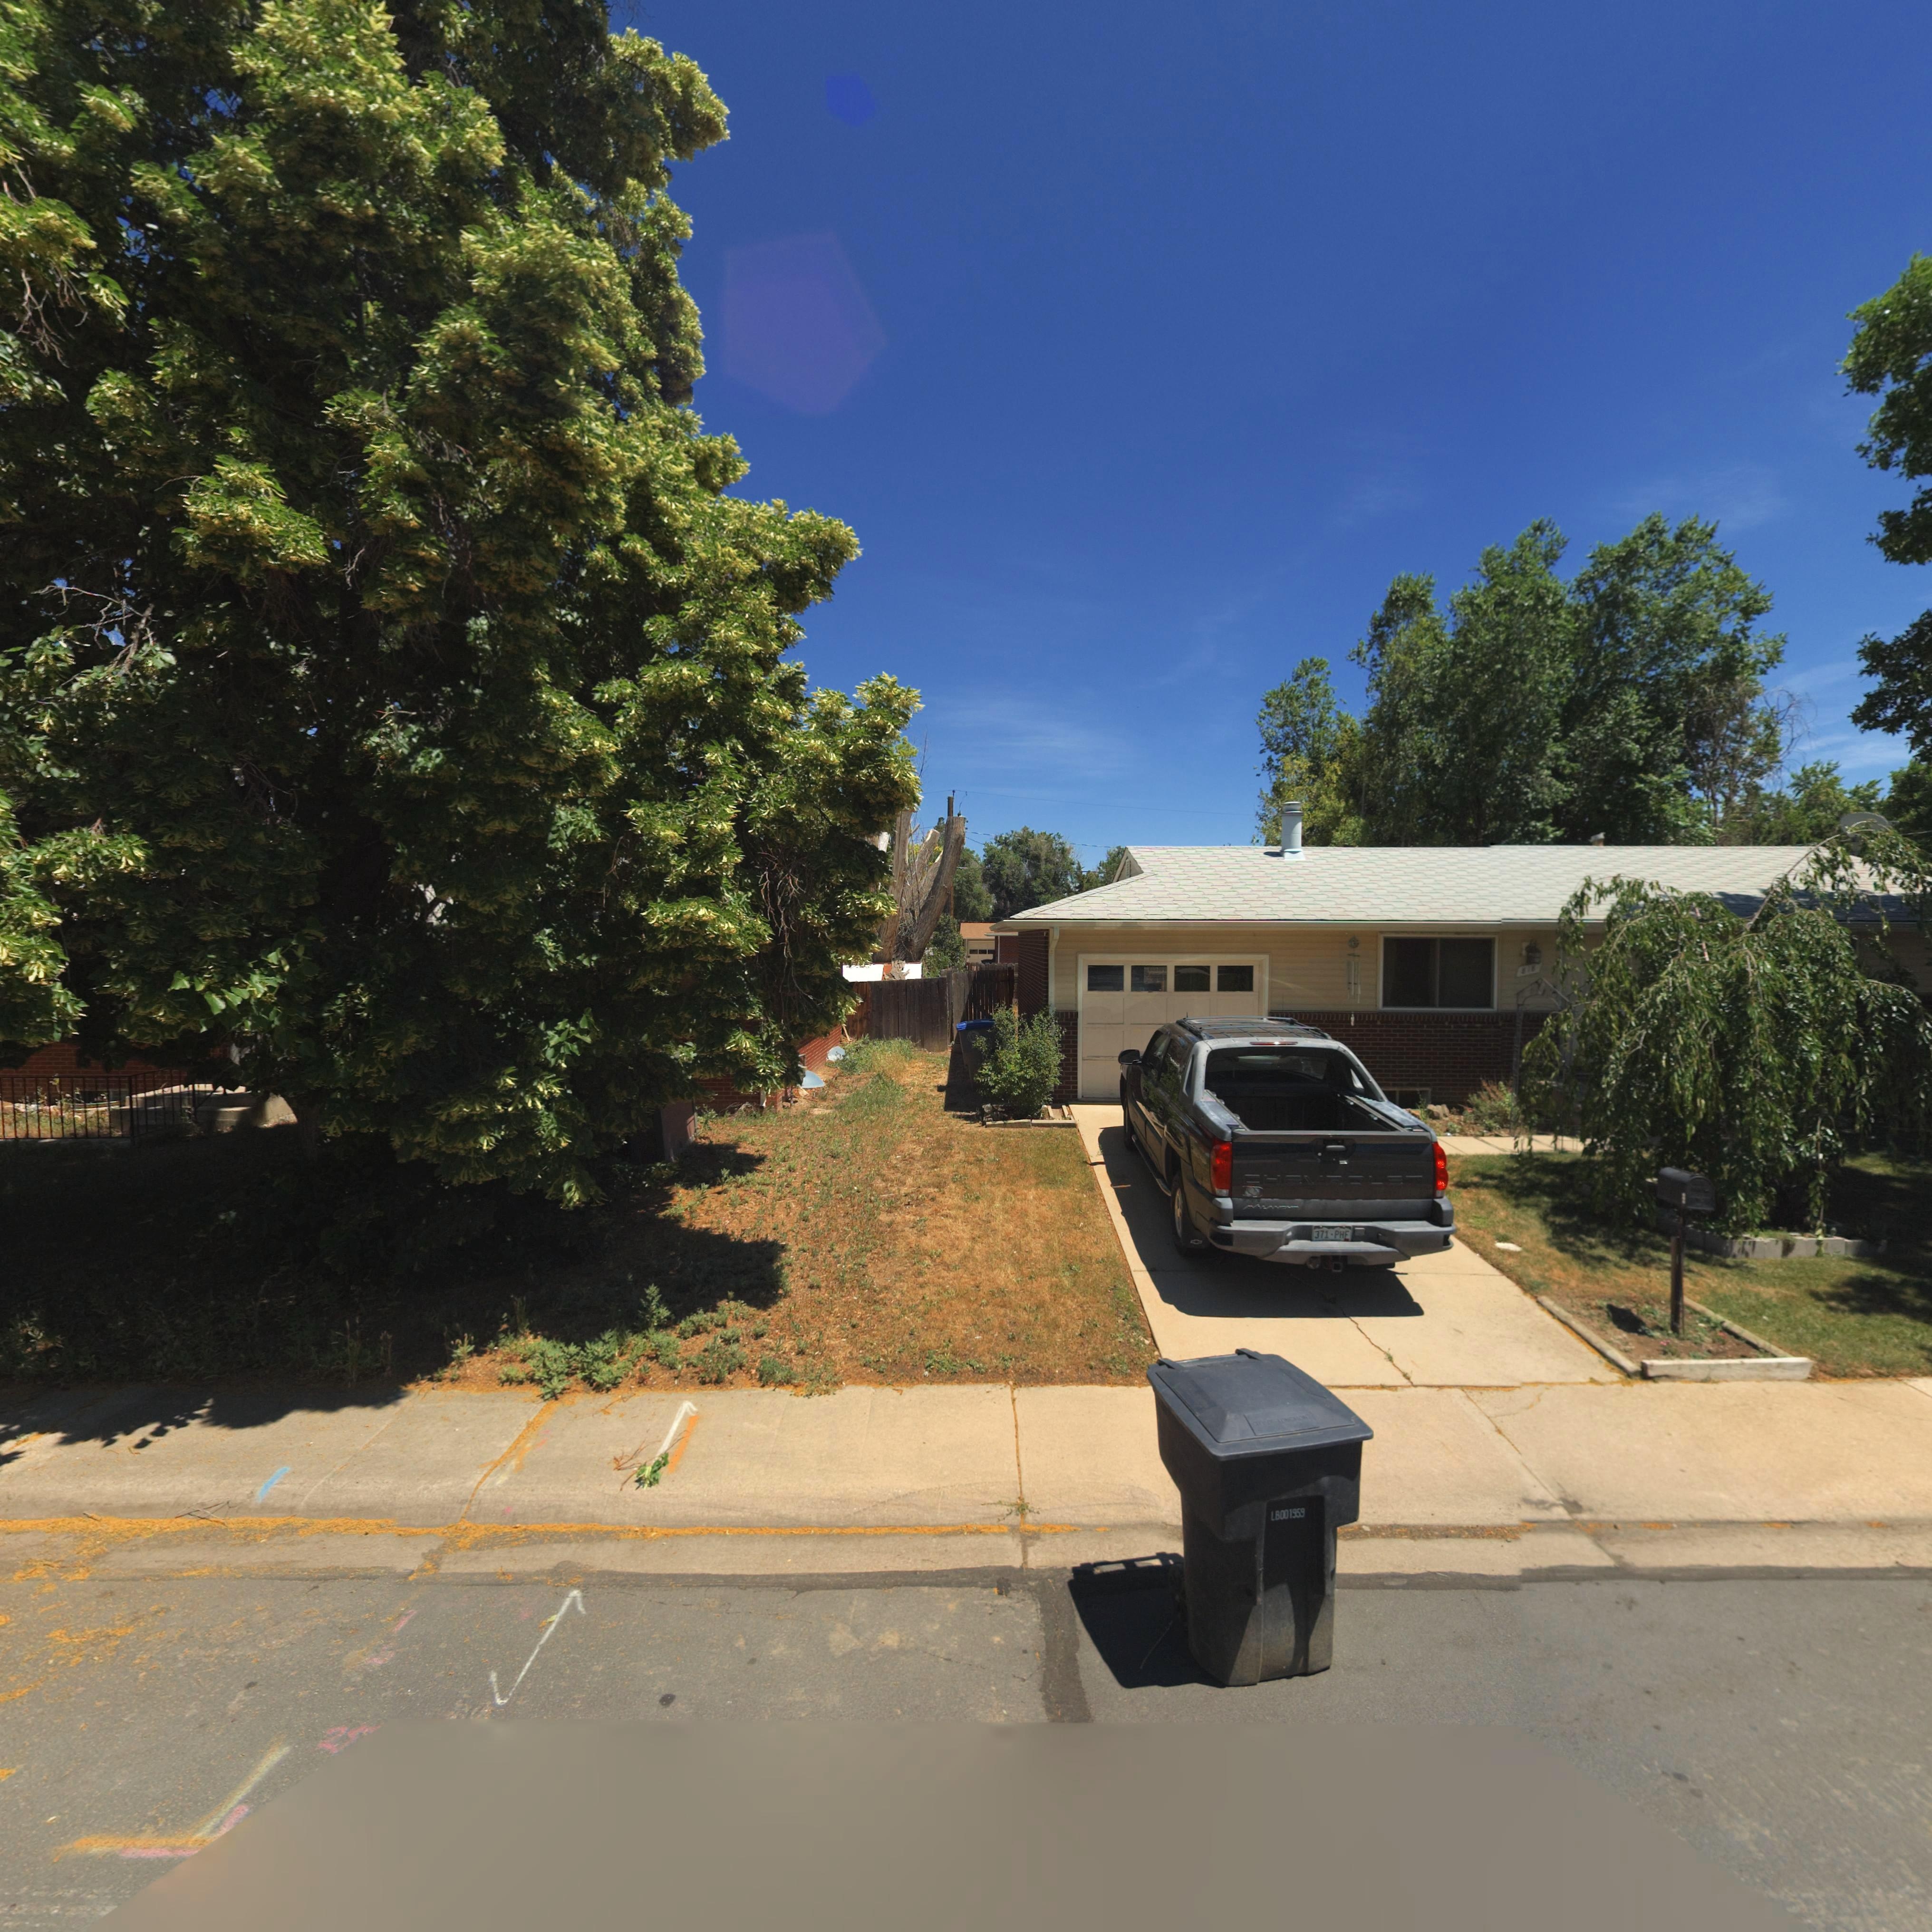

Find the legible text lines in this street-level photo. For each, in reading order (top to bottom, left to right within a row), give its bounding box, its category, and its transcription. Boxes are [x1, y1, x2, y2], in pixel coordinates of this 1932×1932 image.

[1521, 965, 1536, 975] StreetNumber: 818